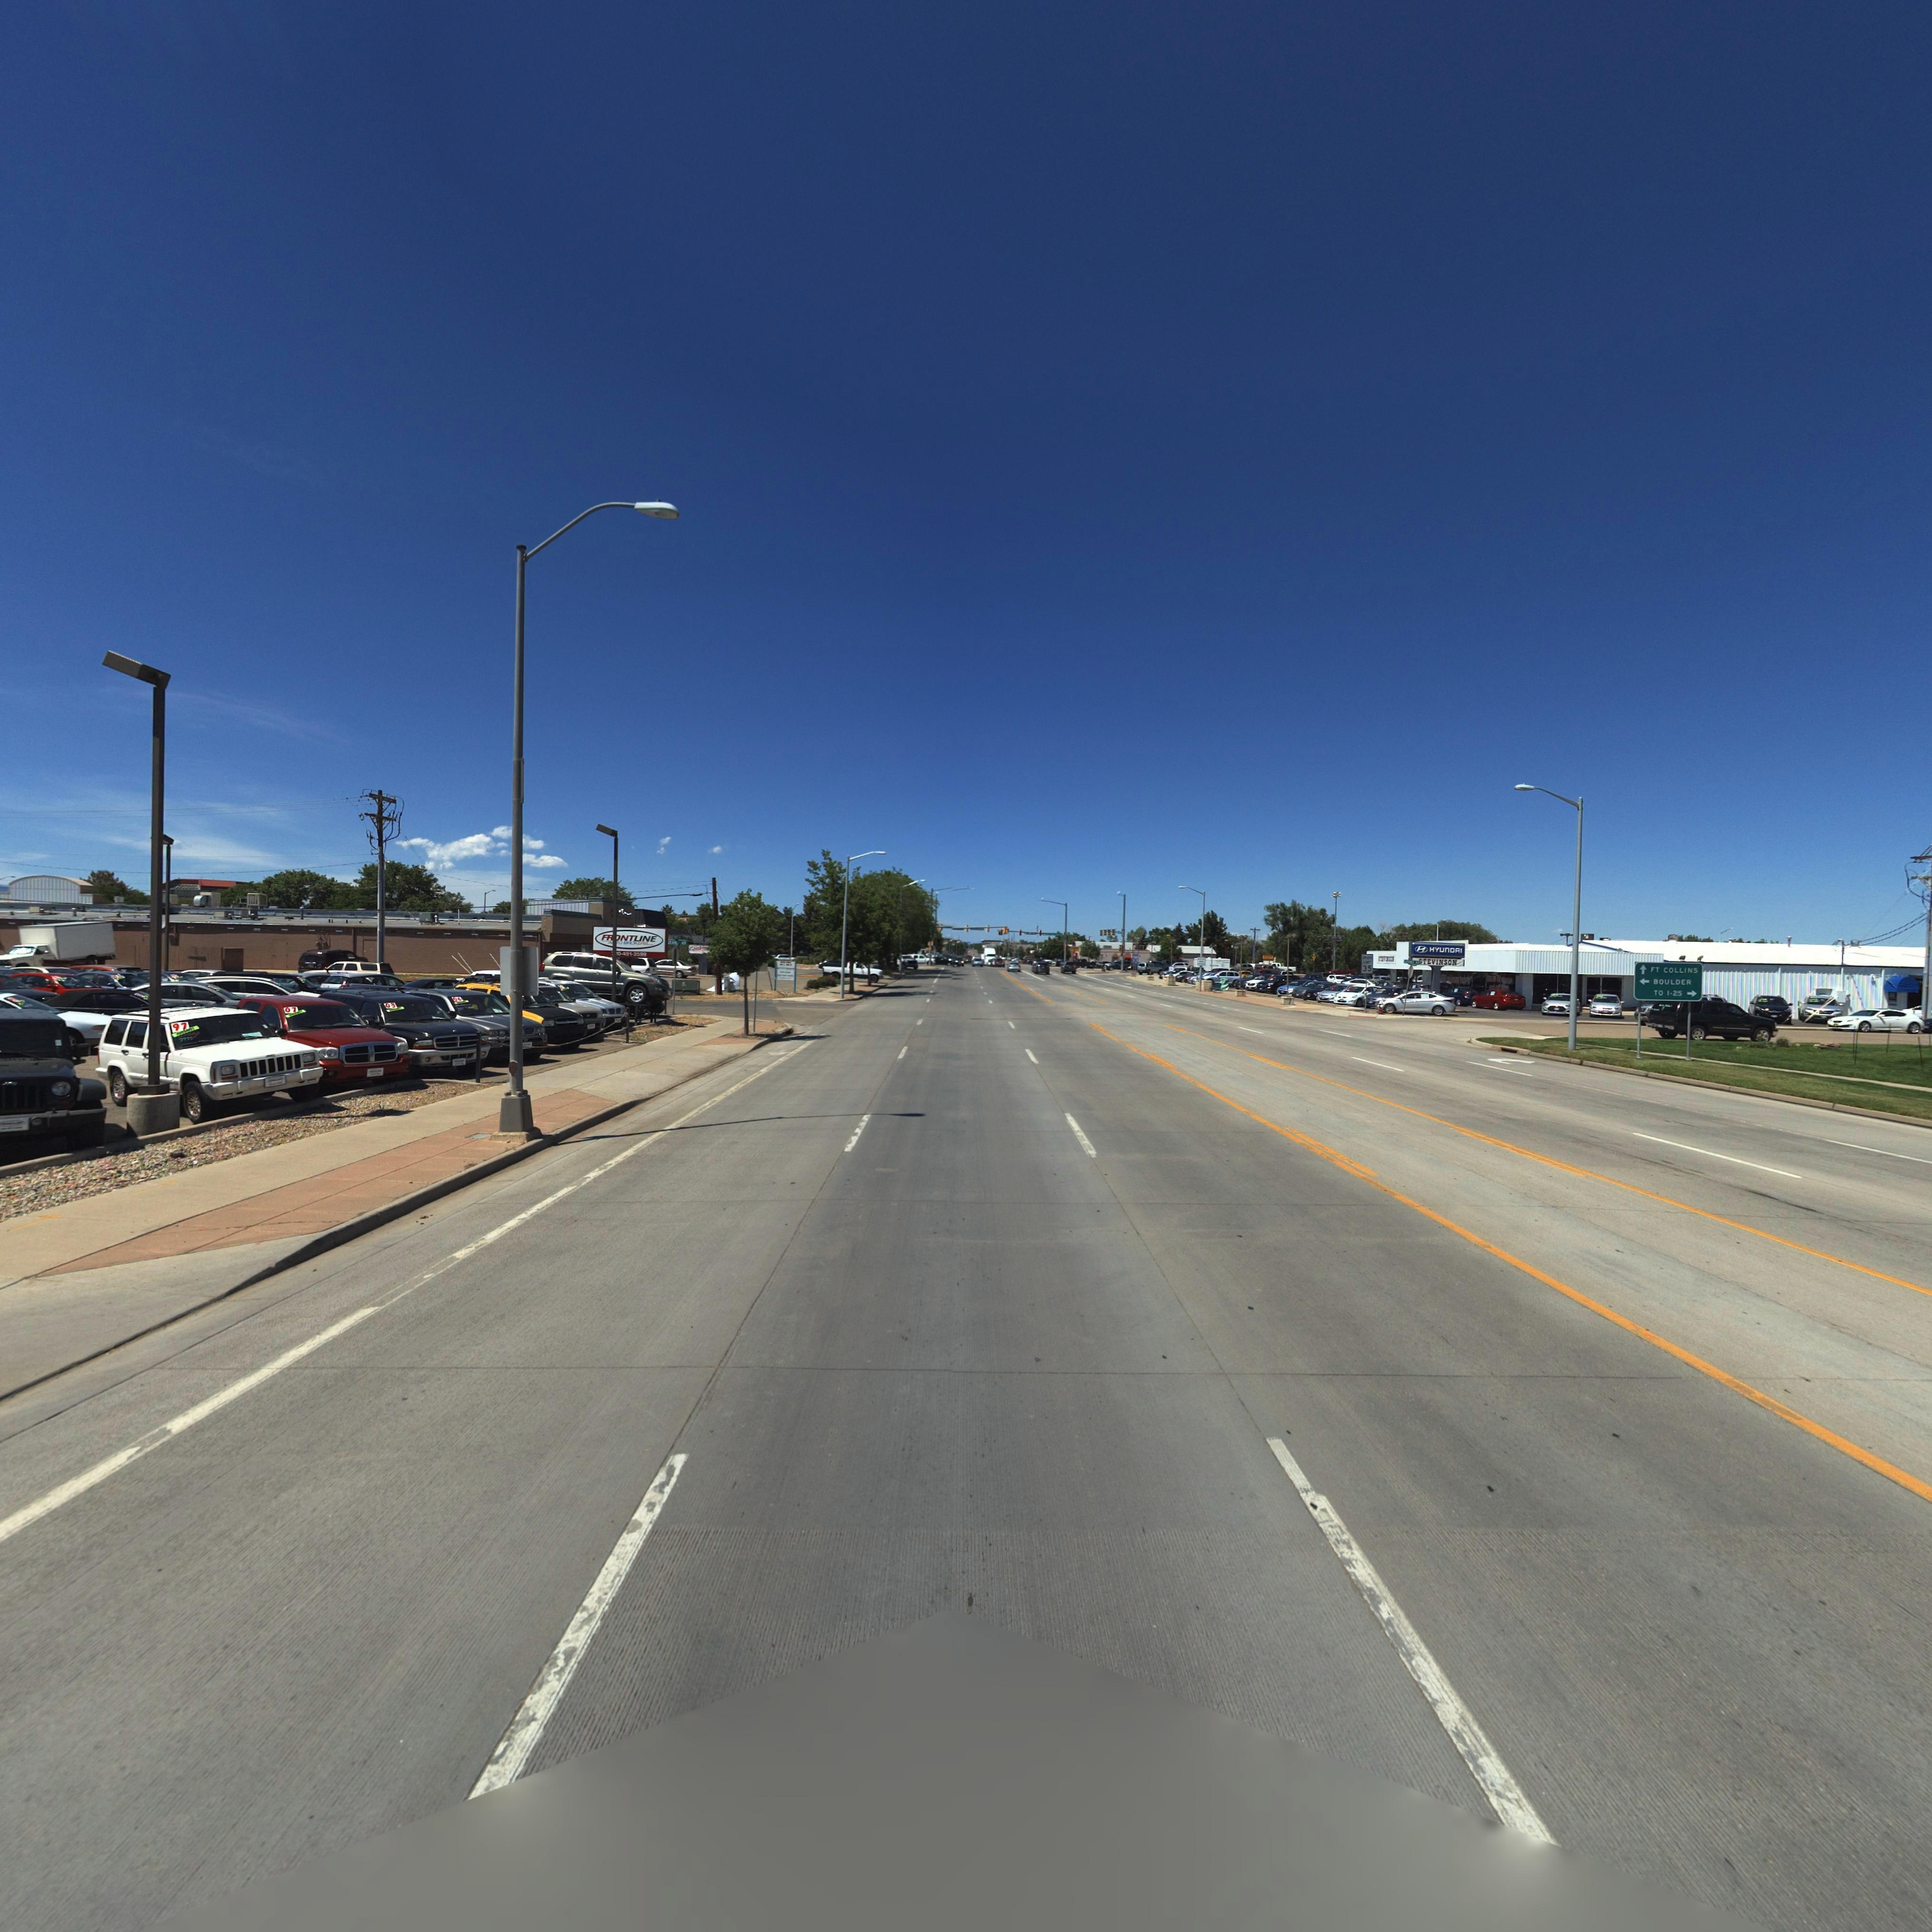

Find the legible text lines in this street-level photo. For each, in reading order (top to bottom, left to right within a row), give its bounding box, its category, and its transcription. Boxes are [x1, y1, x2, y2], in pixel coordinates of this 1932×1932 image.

[601, 934, 657, 942] BusinessName: F**NTLINE
[608, 940, 649, 945] BusinessName: A**O ***K***
[667, 940, 686, 945] StreetName: **A** **
[688, 945, 715, 952] BusinessName: Good*******
[1429, 947, 1463, 953] BusinessName: HYUNDAI
[1378, 956, 1394, 961] BusinessName: S*******
[1403, 959, 1420, 964] StreetName: ***** A*
[1419, 958, 1457, 966] BusinessName: *TEVINSON